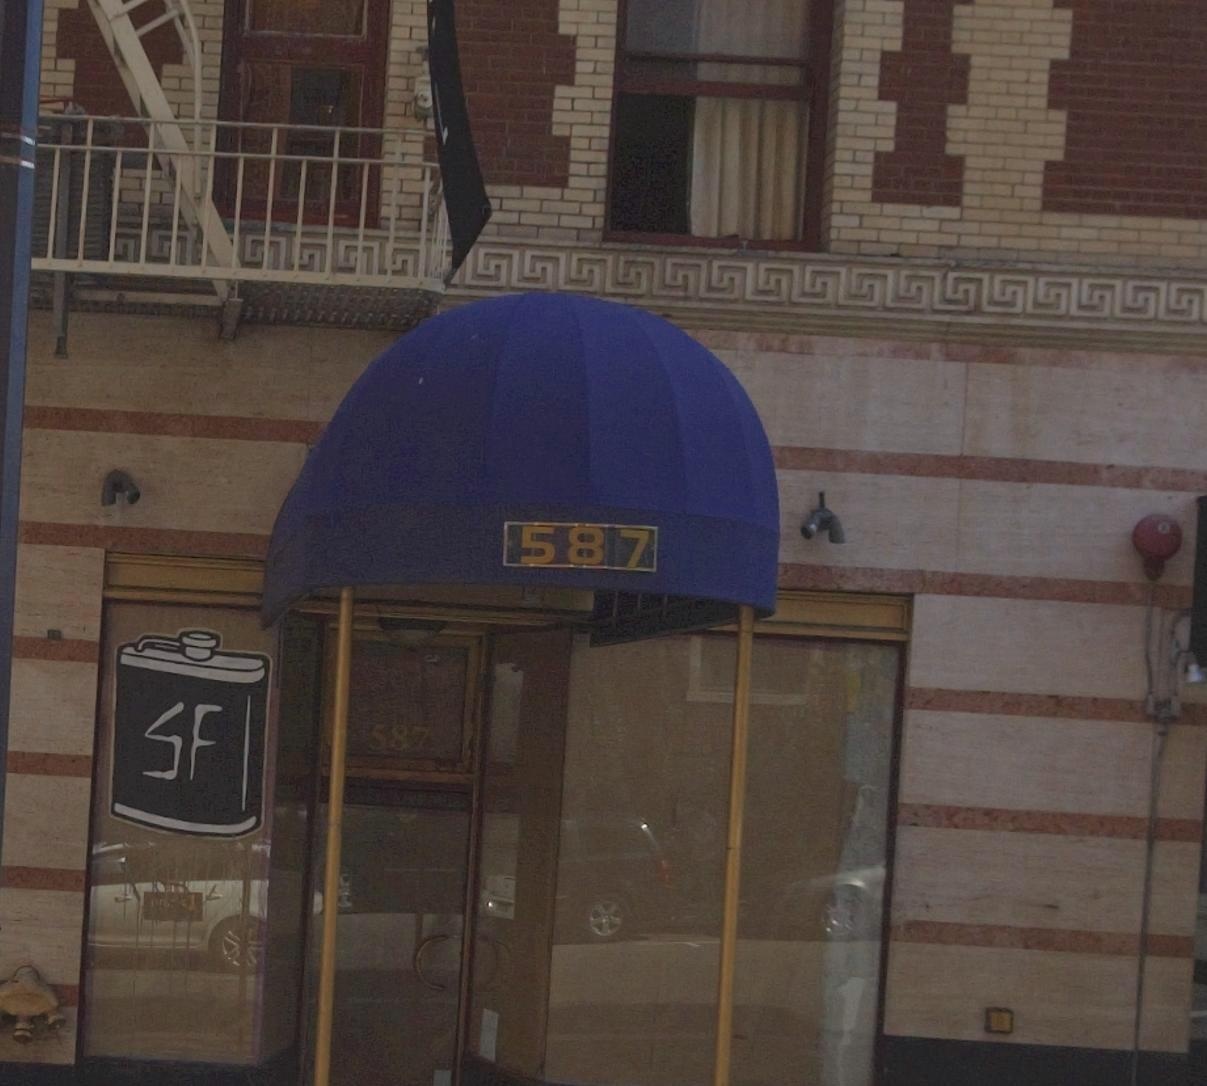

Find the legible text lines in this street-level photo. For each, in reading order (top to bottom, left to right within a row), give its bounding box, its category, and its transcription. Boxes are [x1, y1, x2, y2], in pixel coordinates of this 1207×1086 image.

[519, 524, 653, 569] StreetNumber: 587
[138, 698, 226, 785] None: SF
[366, 721, 436, 753] StreetNumber: 587